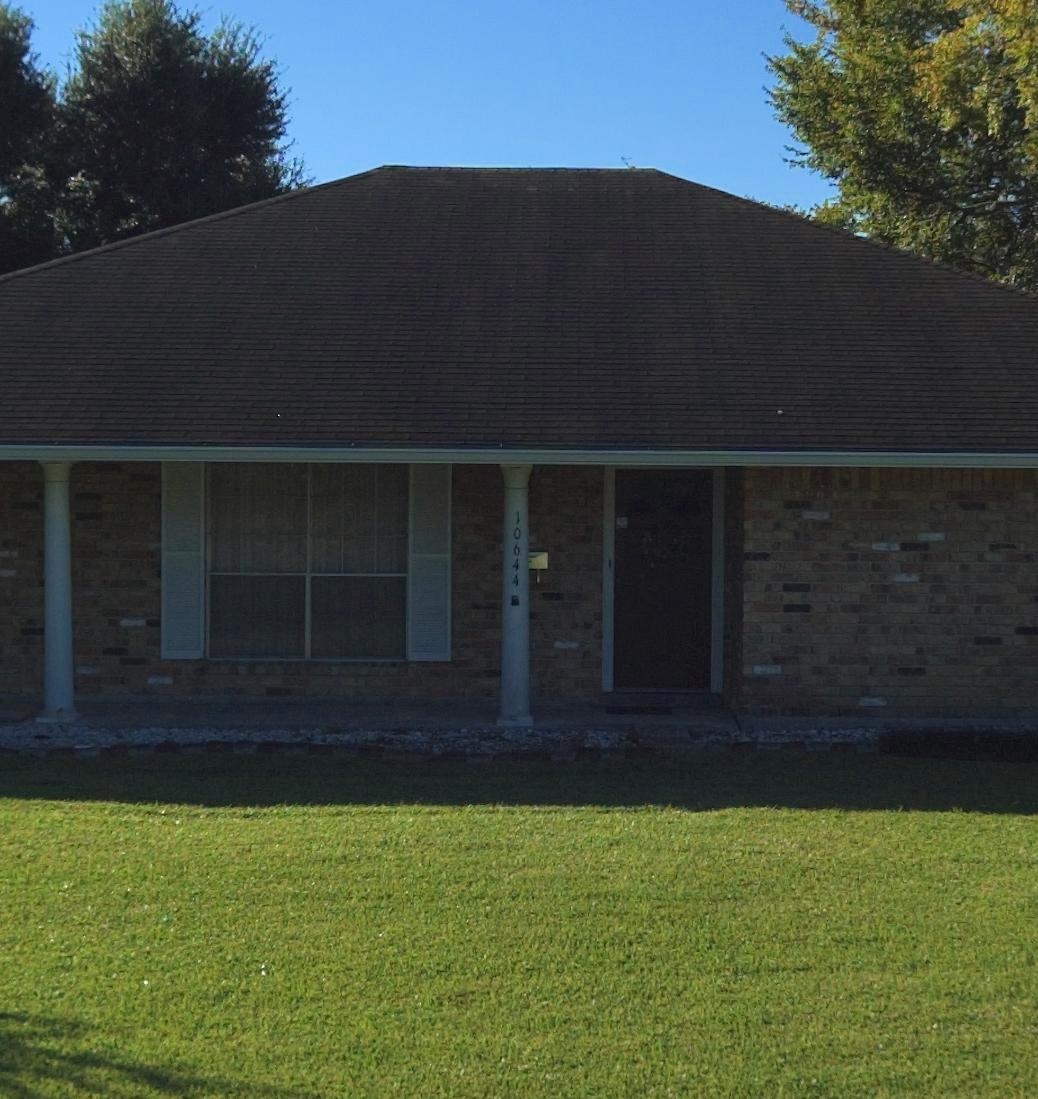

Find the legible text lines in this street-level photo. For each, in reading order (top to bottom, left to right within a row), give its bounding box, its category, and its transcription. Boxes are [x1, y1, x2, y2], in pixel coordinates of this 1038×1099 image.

[509, 508, 524, 589] StreetNumber: 10644